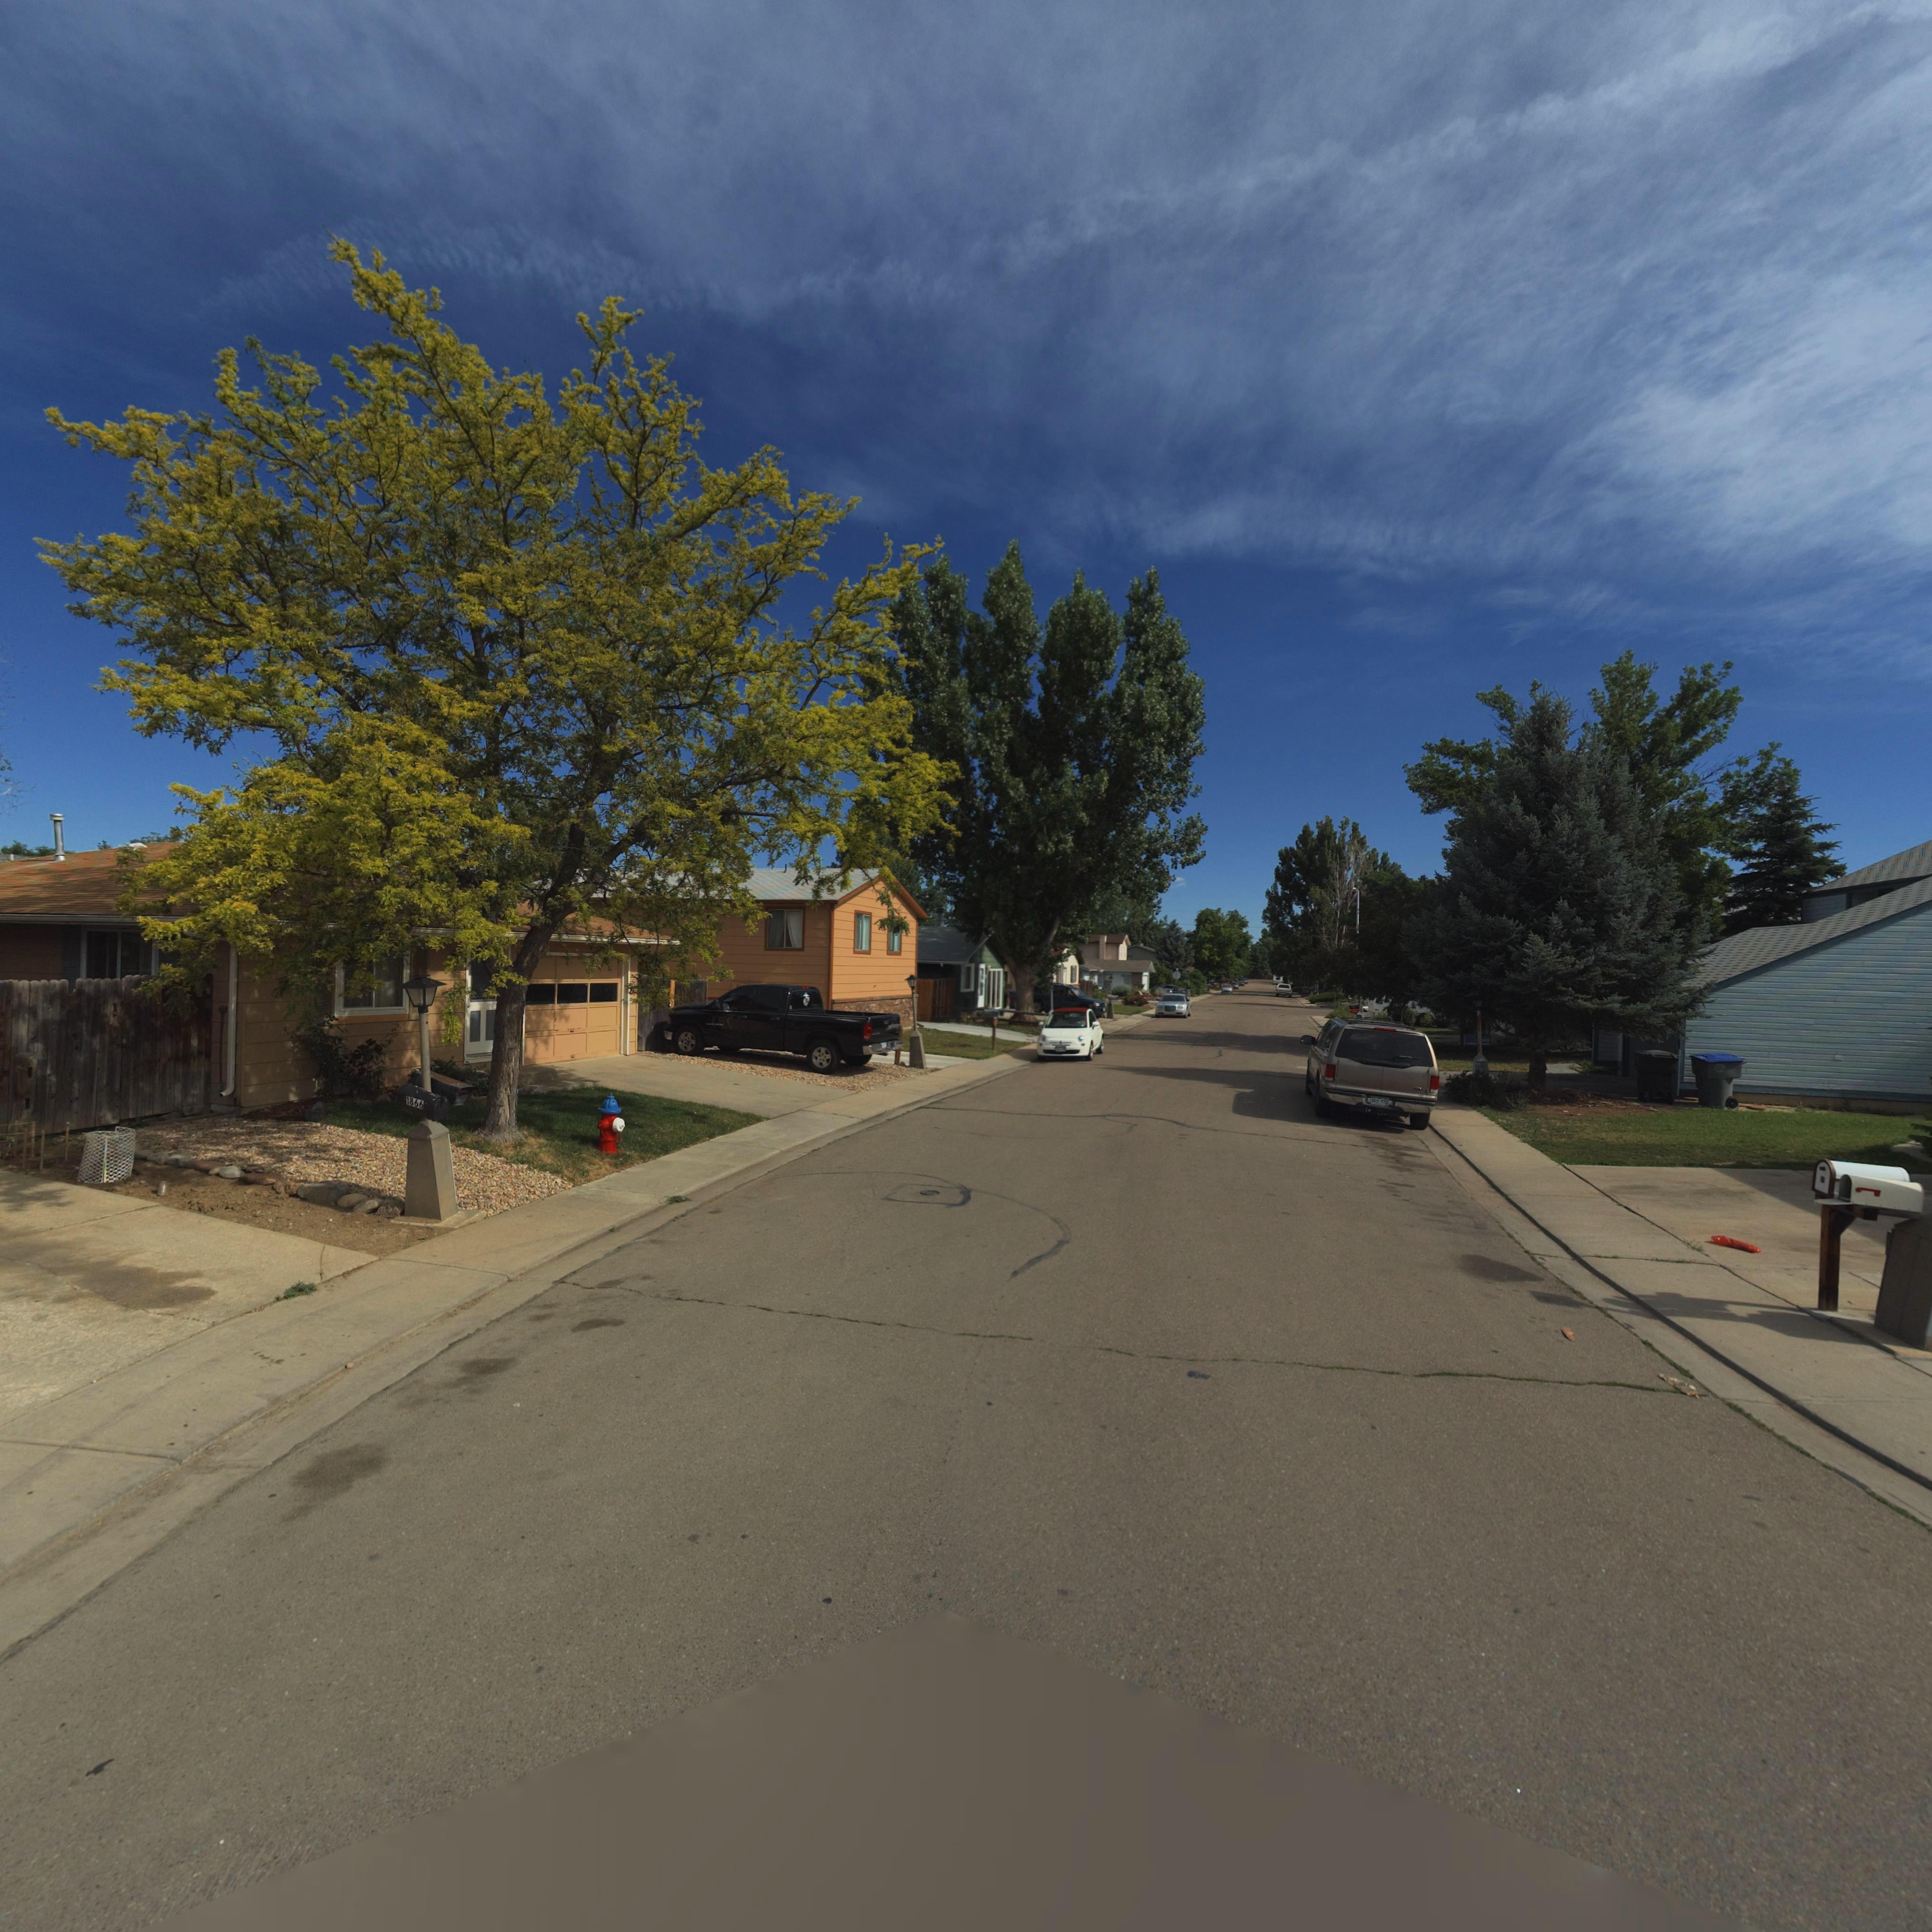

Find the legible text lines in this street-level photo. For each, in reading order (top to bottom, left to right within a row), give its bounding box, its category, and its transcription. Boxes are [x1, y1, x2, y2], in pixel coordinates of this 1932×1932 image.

[406, 1096, 423, 1109] StreetNumber: 1866